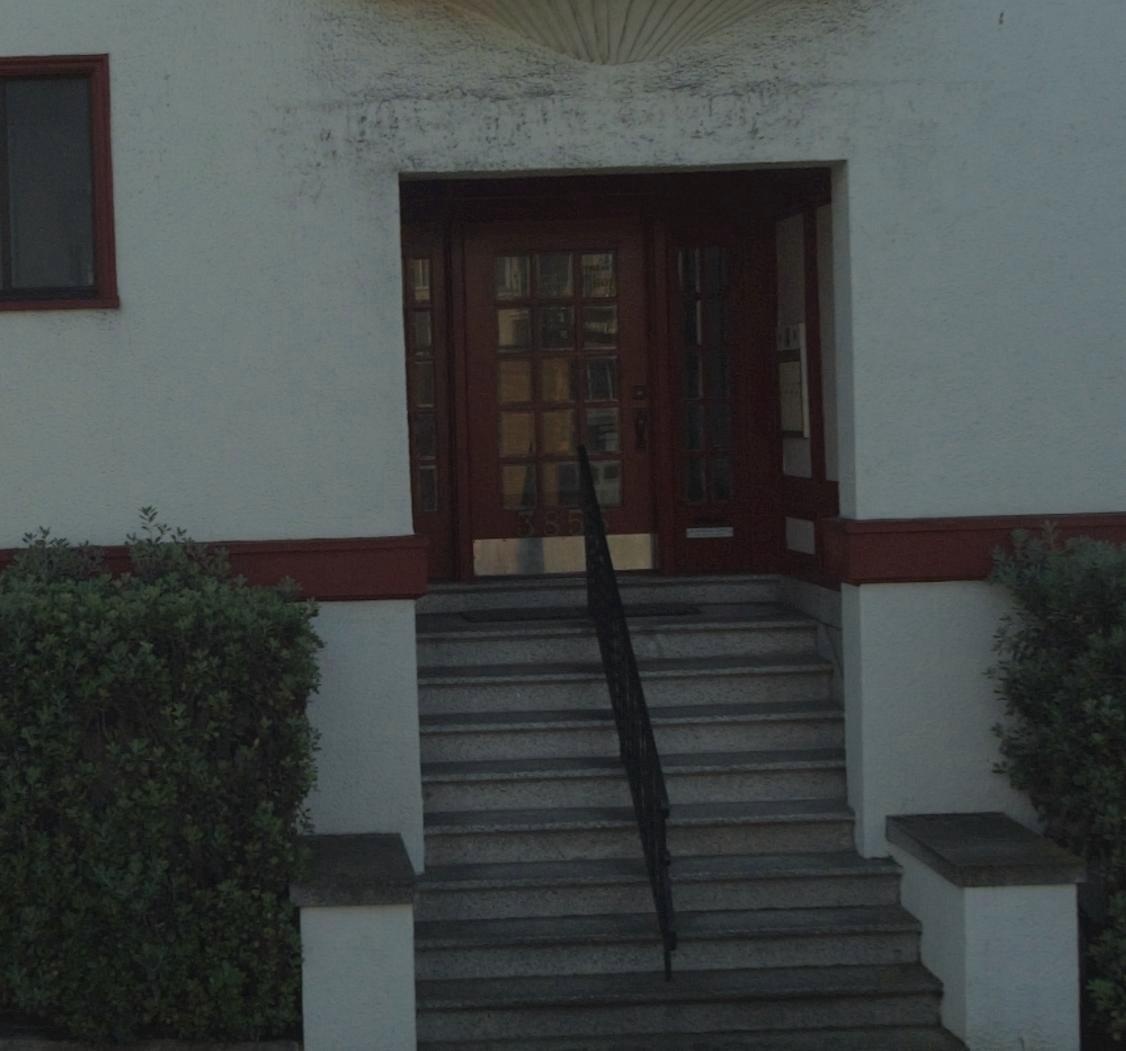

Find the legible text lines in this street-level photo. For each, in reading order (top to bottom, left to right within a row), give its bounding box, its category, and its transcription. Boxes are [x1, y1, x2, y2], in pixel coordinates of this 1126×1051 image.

[513, 505, 611, 542] StreetNumber: 385*